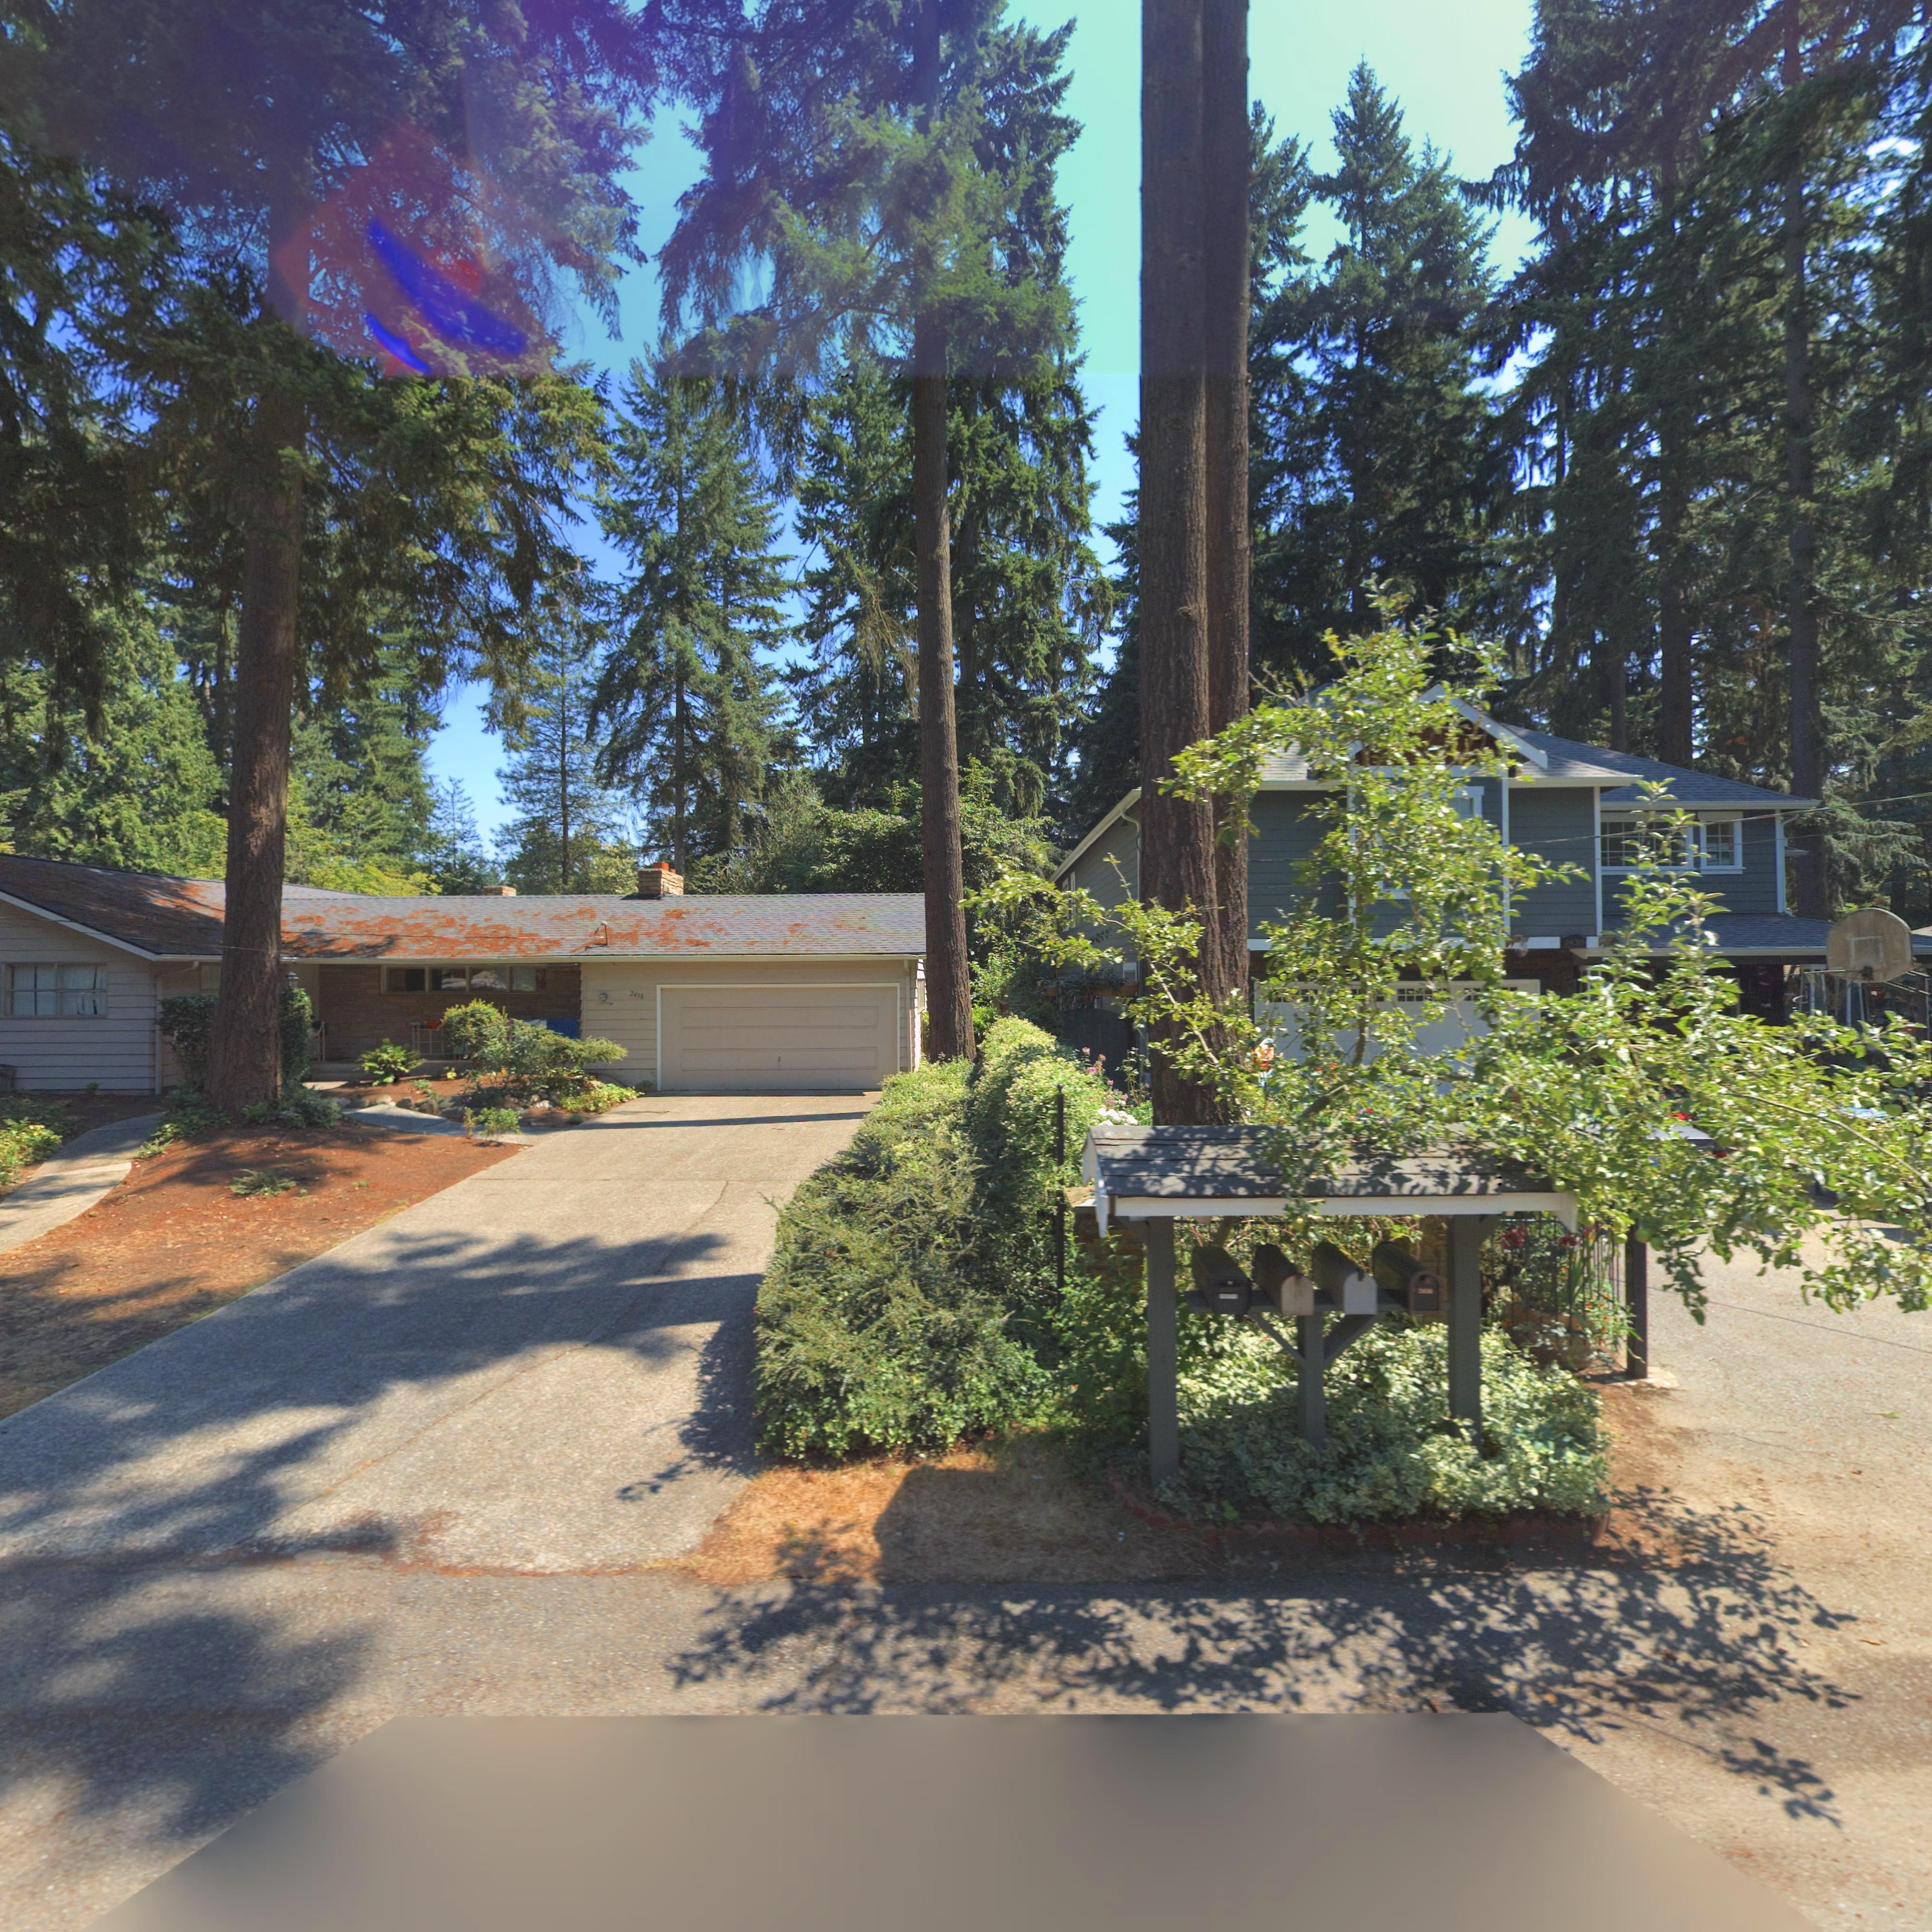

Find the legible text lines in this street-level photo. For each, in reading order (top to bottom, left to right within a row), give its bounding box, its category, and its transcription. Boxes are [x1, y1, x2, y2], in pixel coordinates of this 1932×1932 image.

[1563, 938, 1585, 947] StreetNumber: 2430
[628, 989, 644, 1000] StreetNumber: 2438